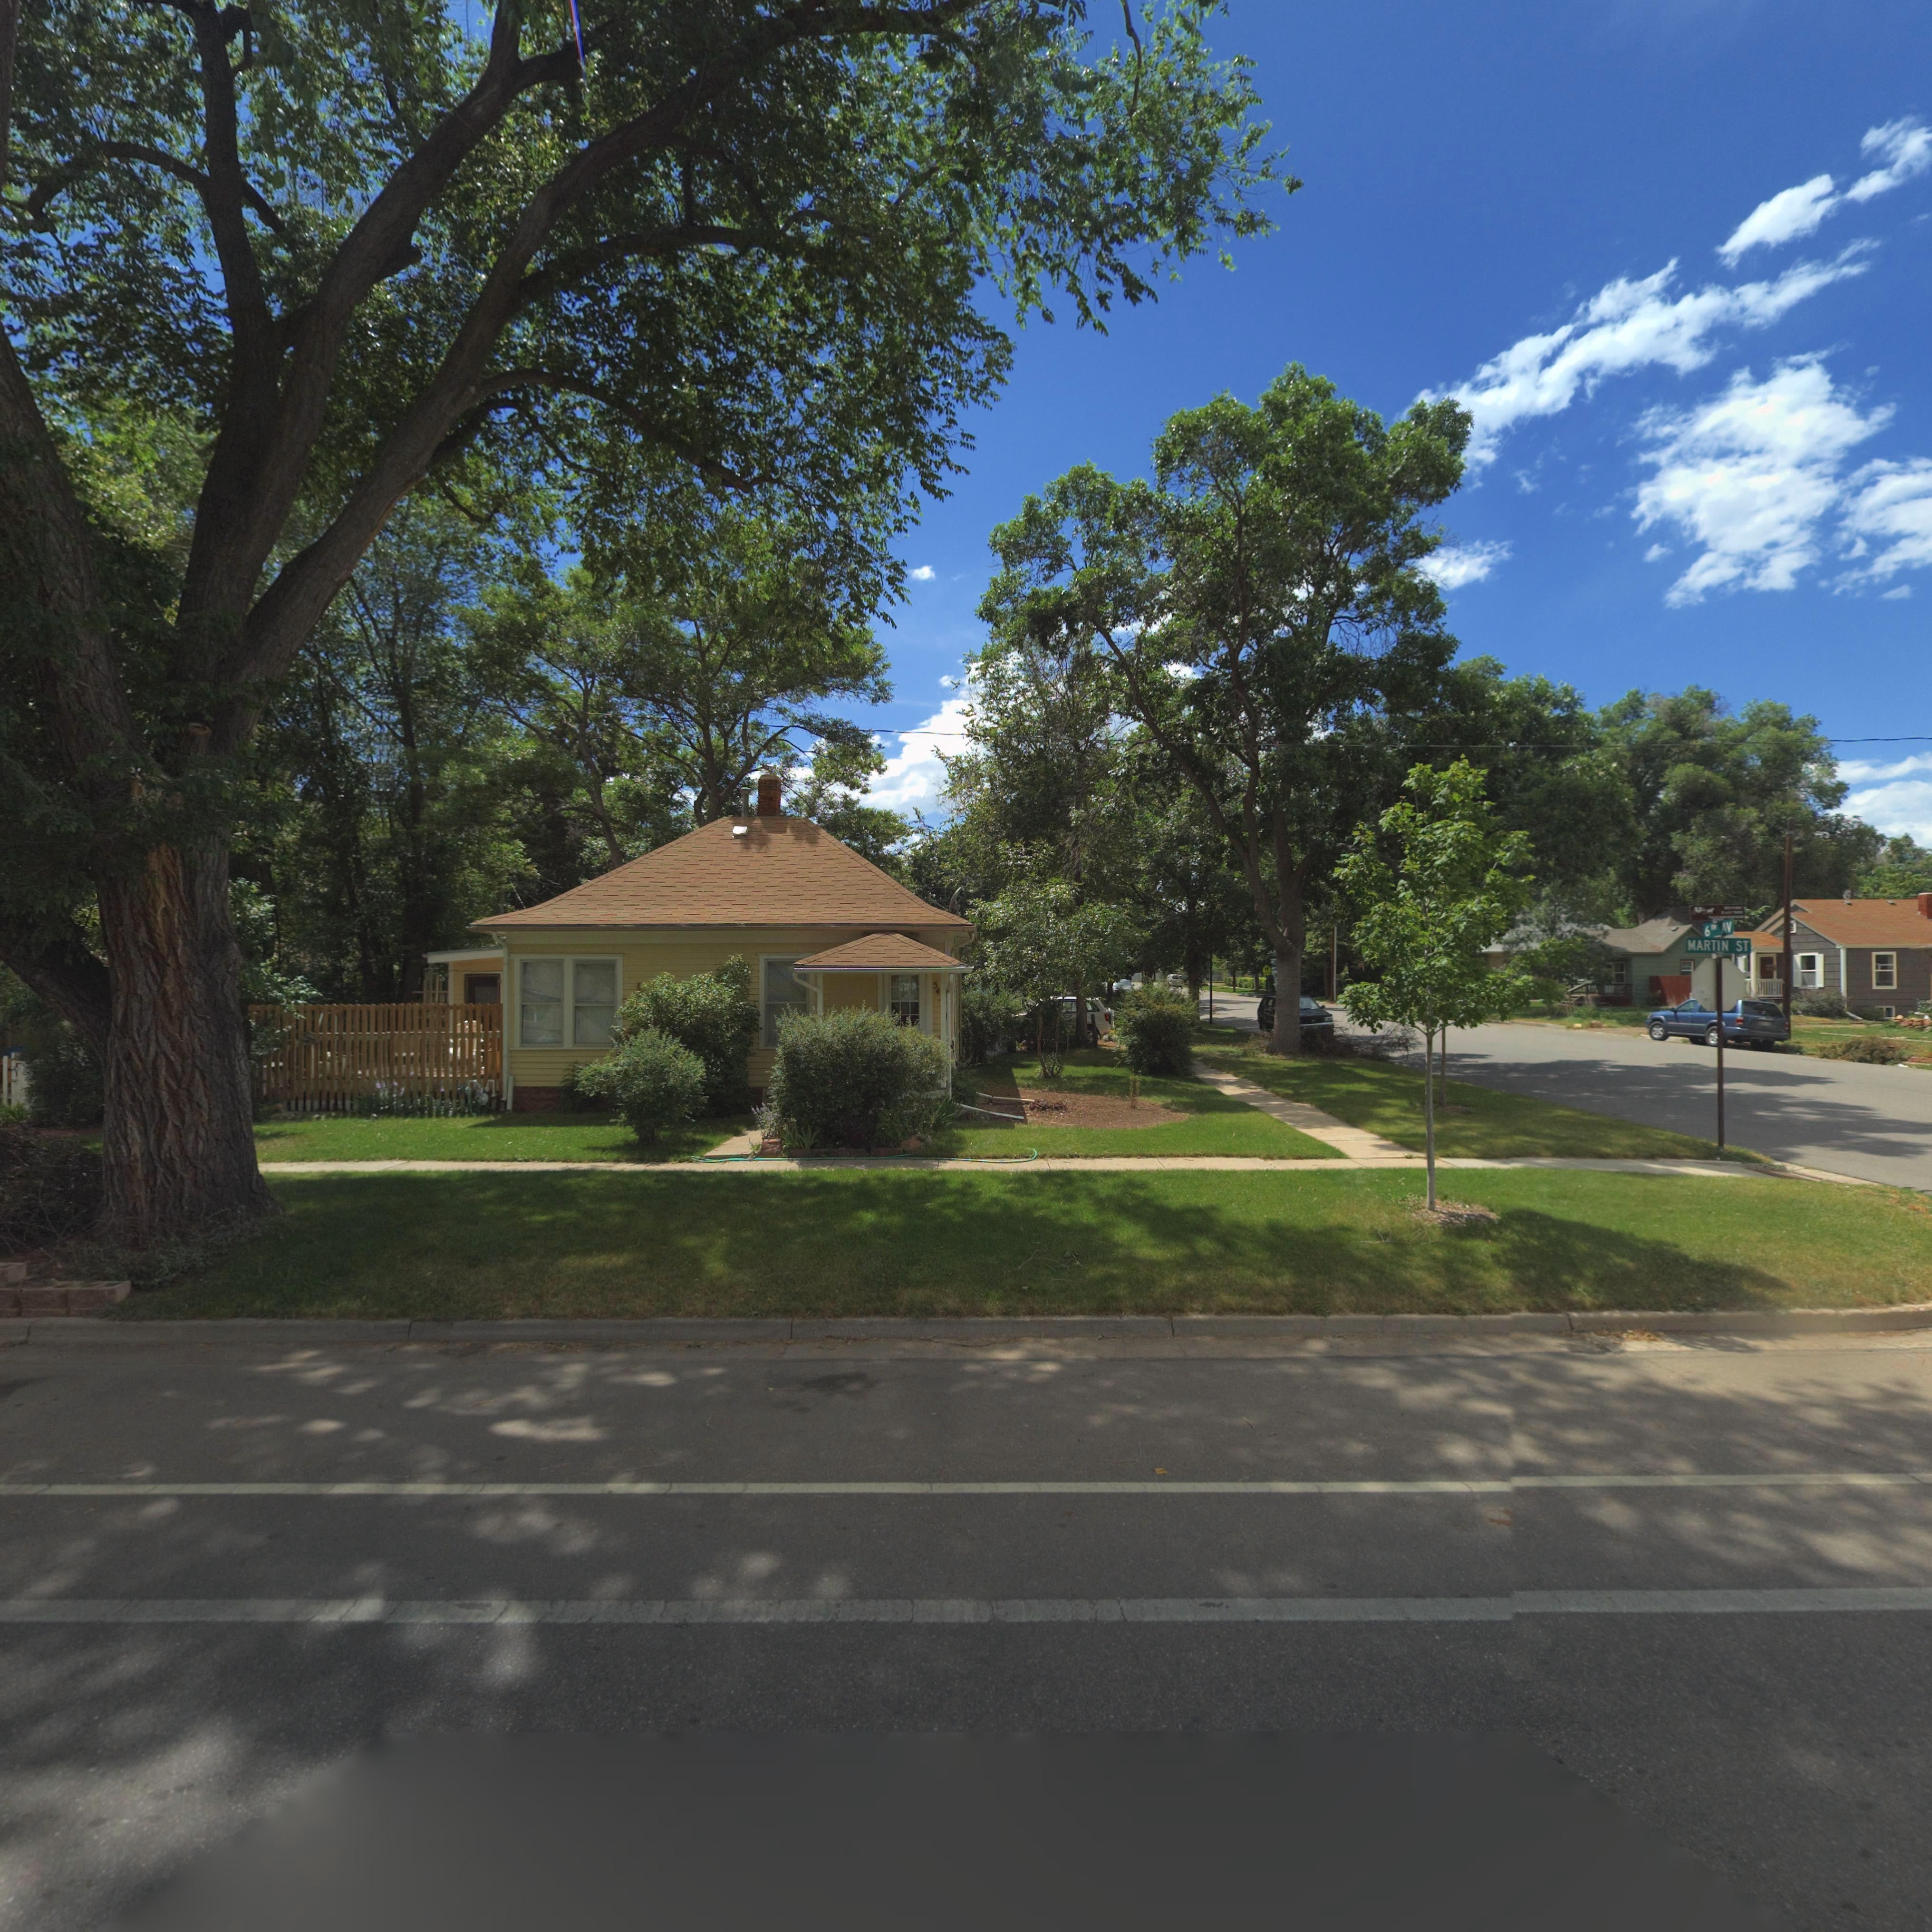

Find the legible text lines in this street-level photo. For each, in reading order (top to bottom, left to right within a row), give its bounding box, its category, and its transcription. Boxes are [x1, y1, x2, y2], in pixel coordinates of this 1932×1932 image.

[1704, 920, 1732, 937] StreetName: 6TH AV
[1688, 939, 1749, 952] StreetName: MARTIN ST
[933, 981, 940, 995] StreetNumber: 54*